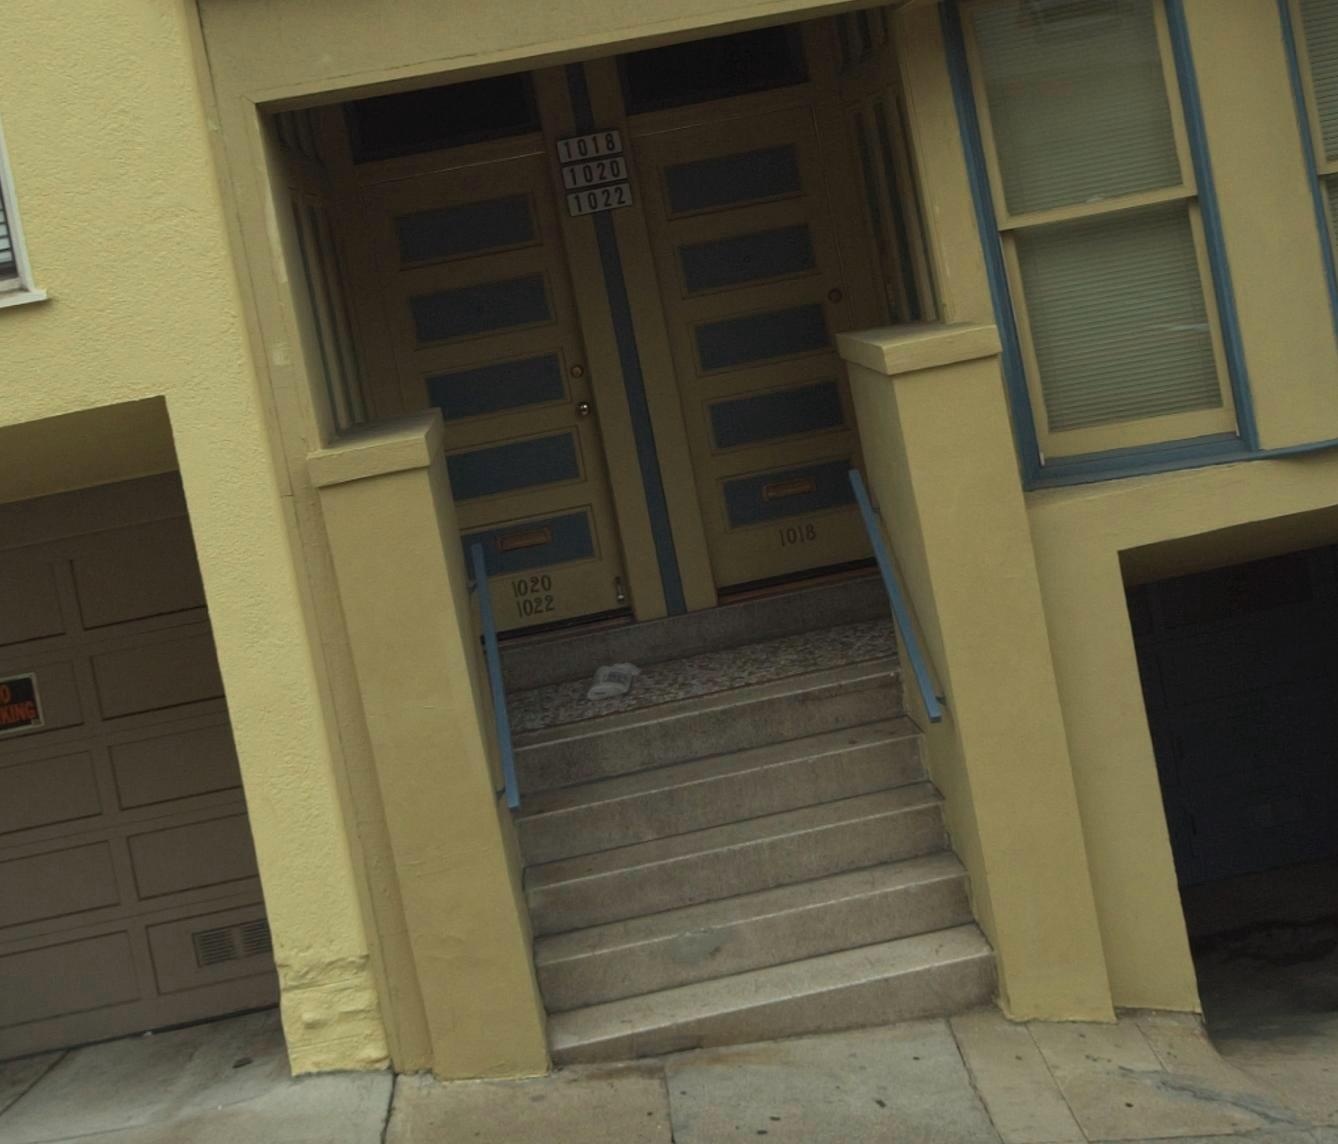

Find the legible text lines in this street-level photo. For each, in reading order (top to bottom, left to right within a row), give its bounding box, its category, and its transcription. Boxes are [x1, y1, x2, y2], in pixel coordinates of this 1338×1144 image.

[560, 131, 619, 163] StreetNumber: 1018
[566, 156, 624, 188] StreetNumber: 1020
[570, 183, 630, 217] StreetNumber: 1022
[776, 518, 820, 552] StreetNumber: 1018
[508, 570, 556, 604] StreetNumber: 1020
[512, 588, 560, 622] StreetNumber: 1022
[0, 681, 13, 708] None: 0
[0, 696, 38, 727] None: KING